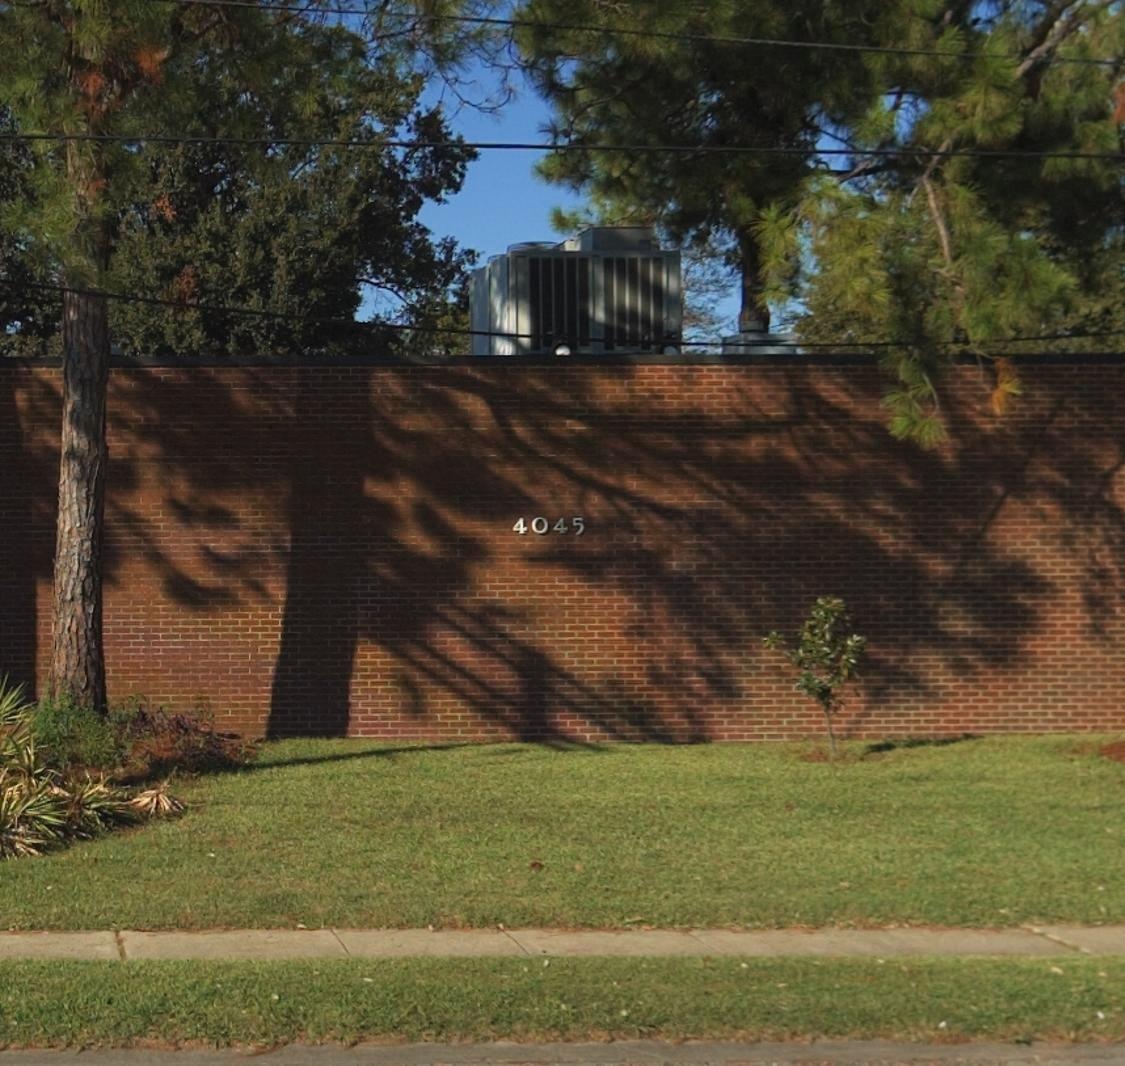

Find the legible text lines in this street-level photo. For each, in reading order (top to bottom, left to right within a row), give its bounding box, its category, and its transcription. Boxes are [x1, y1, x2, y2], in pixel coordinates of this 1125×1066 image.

[510, 514, 587, 537] StreetNumber: 4045